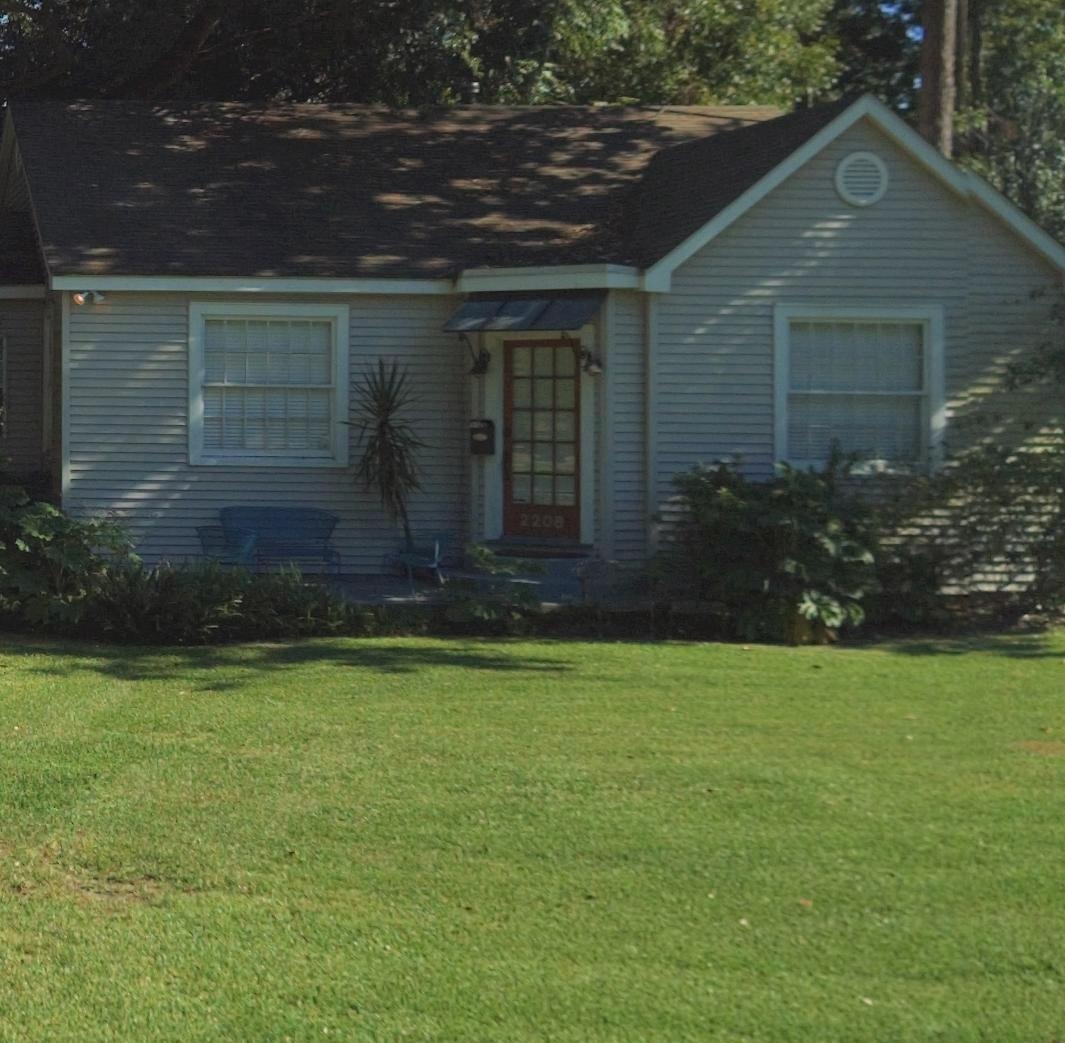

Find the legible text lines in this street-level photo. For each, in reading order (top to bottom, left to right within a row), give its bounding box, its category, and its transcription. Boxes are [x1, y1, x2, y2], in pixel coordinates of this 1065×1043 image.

[518, 511, 566, 531] StreetNumber: 2208